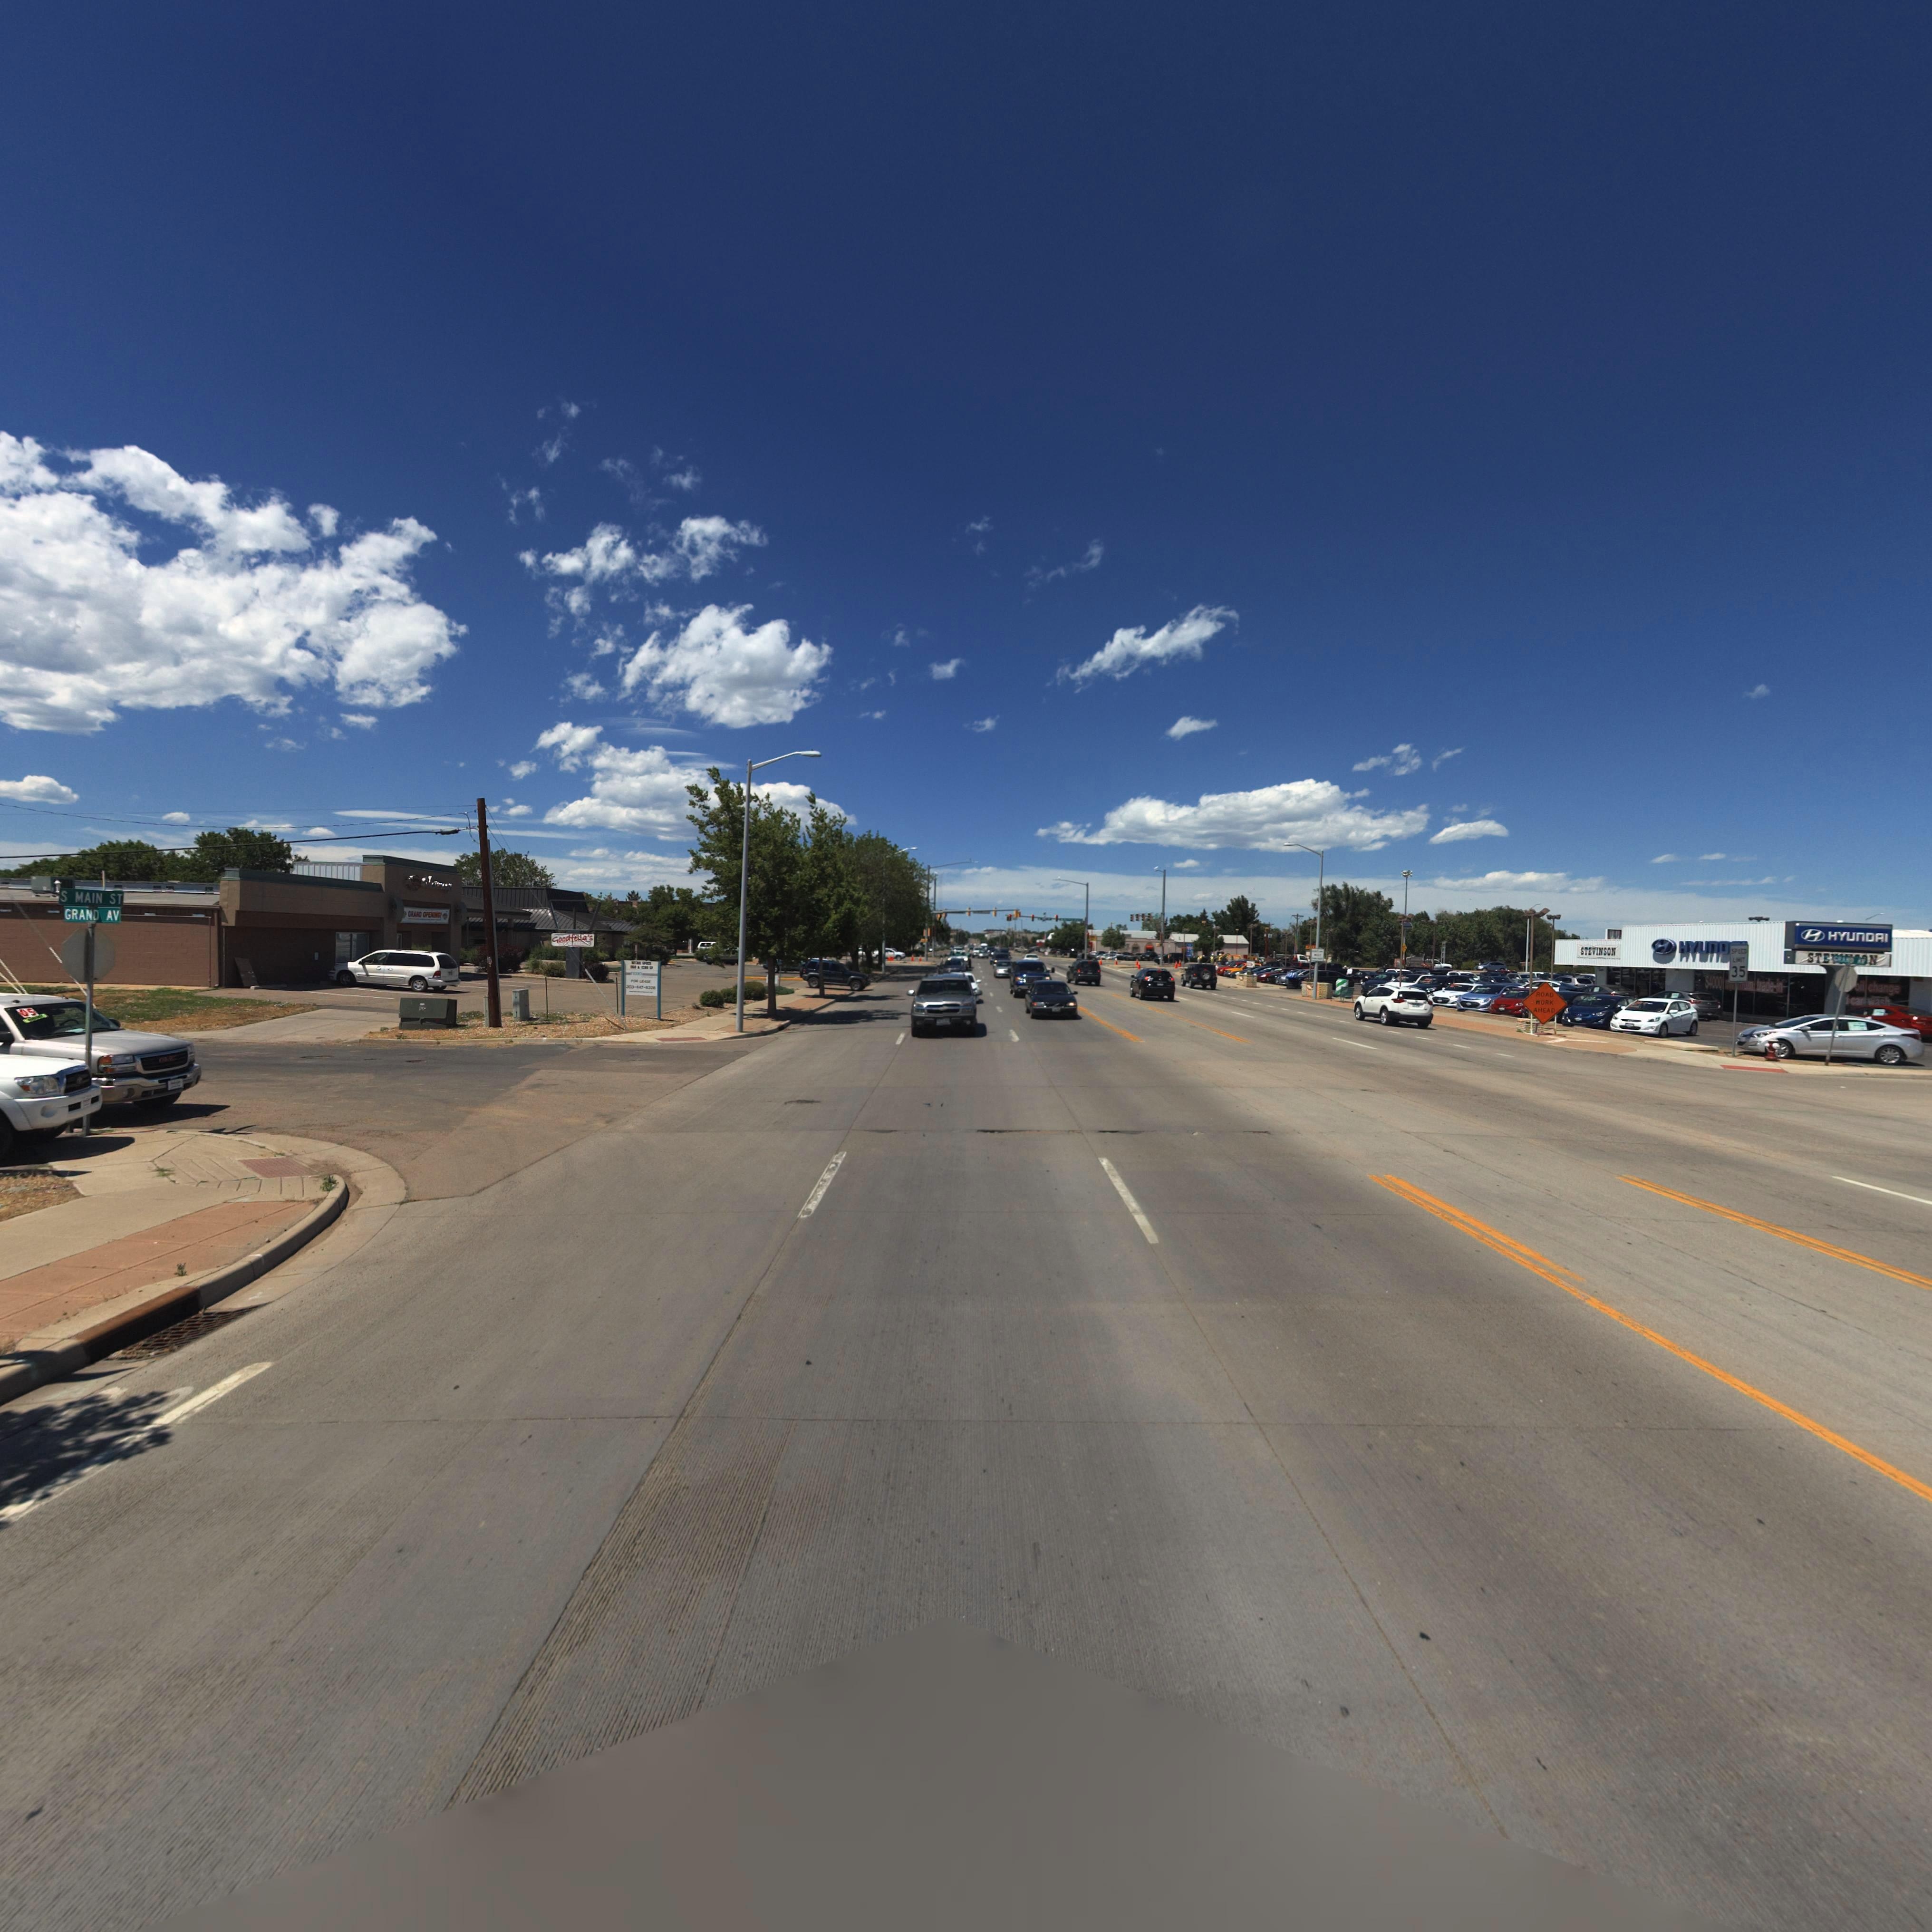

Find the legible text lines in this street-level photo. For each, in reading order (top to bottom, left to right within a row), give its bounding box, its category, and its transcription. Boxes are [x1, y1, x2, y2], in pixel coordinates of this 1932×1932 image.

[421, 875, 454, 892] BusinessName: Pharmacy
[59, 890, 123, 905] StreetName: S MAIN ST
[64, 908, 120, 921] StreetName: GRAND AV
[551, 933, 593, 943] BusinessName: Goodfella's
[1827, 931, 1888, 943] BusinessName: HYUNDAI
[1580, 947, 1616, 956] BusinessName: STEVINSON
[1679, 940, 1748, 955] BusinessName: HYUND**
[1807, 952, 1878, 965] BusinessName: STE****ON